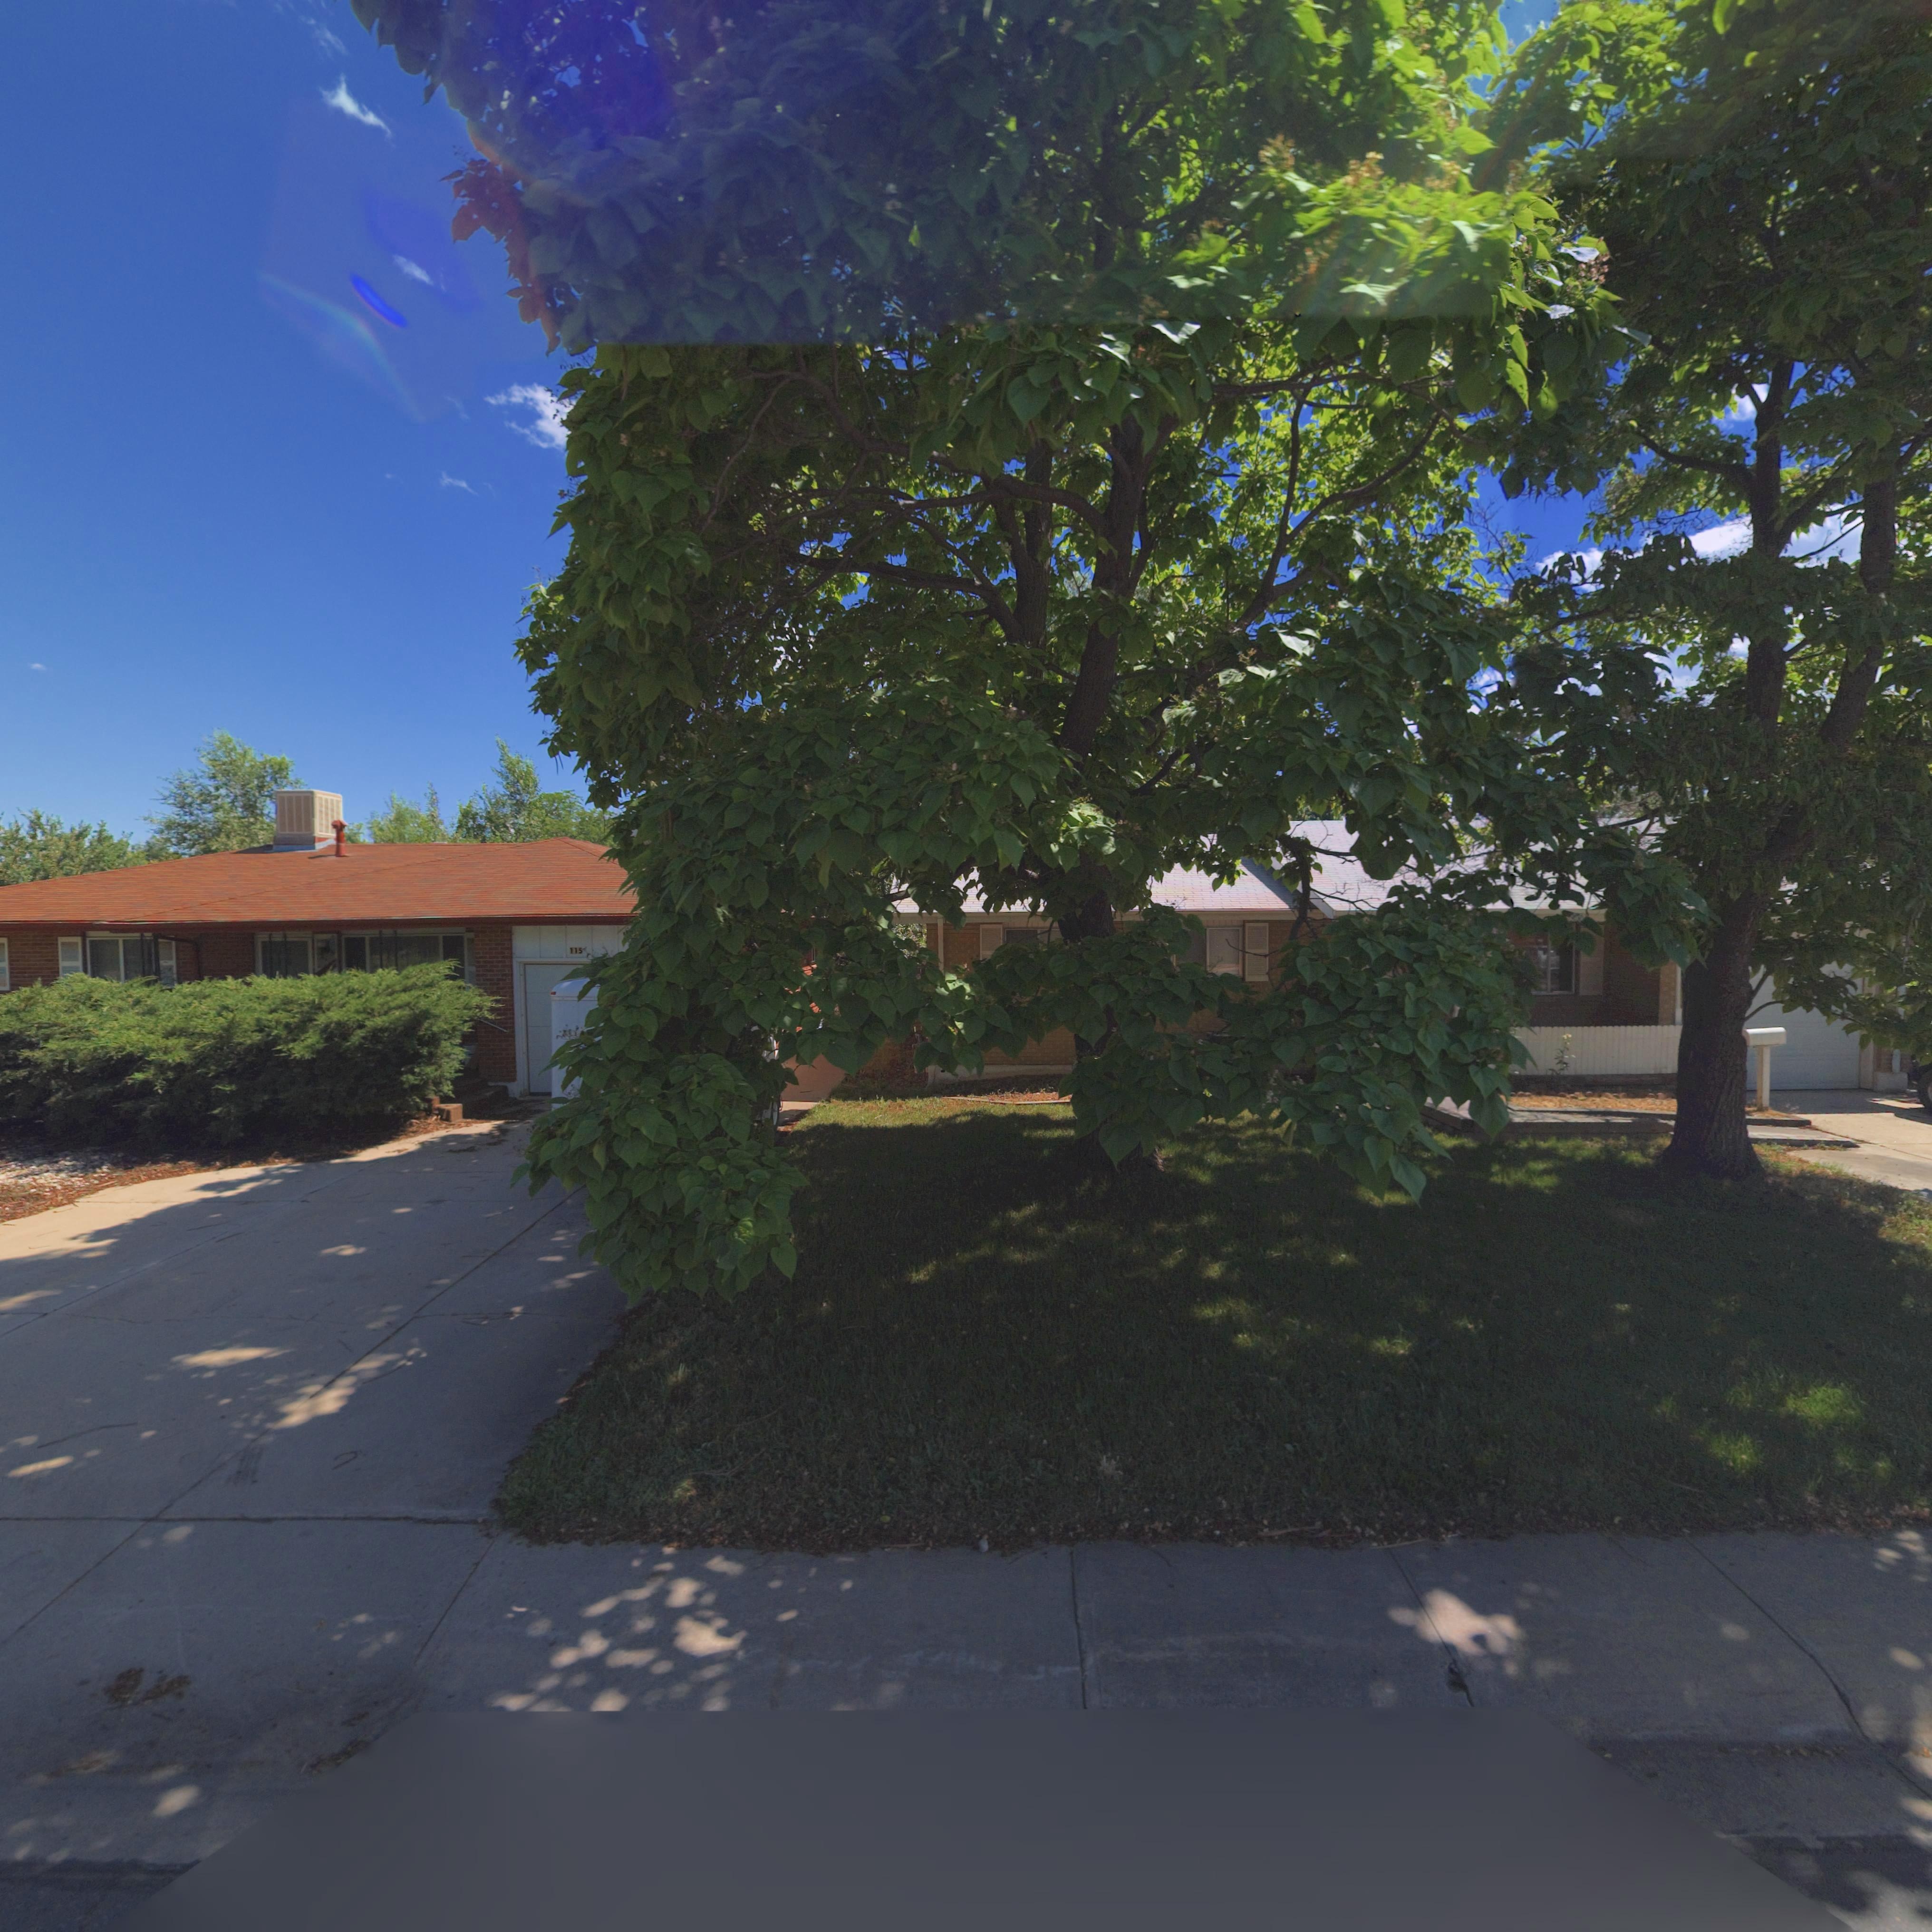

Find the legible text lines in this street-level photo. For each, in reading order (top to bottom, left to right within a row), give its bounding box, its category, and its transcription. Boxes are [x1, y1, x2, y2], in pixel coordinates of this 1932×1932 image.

[570, 947, 582, 954] StreetNumber: 115